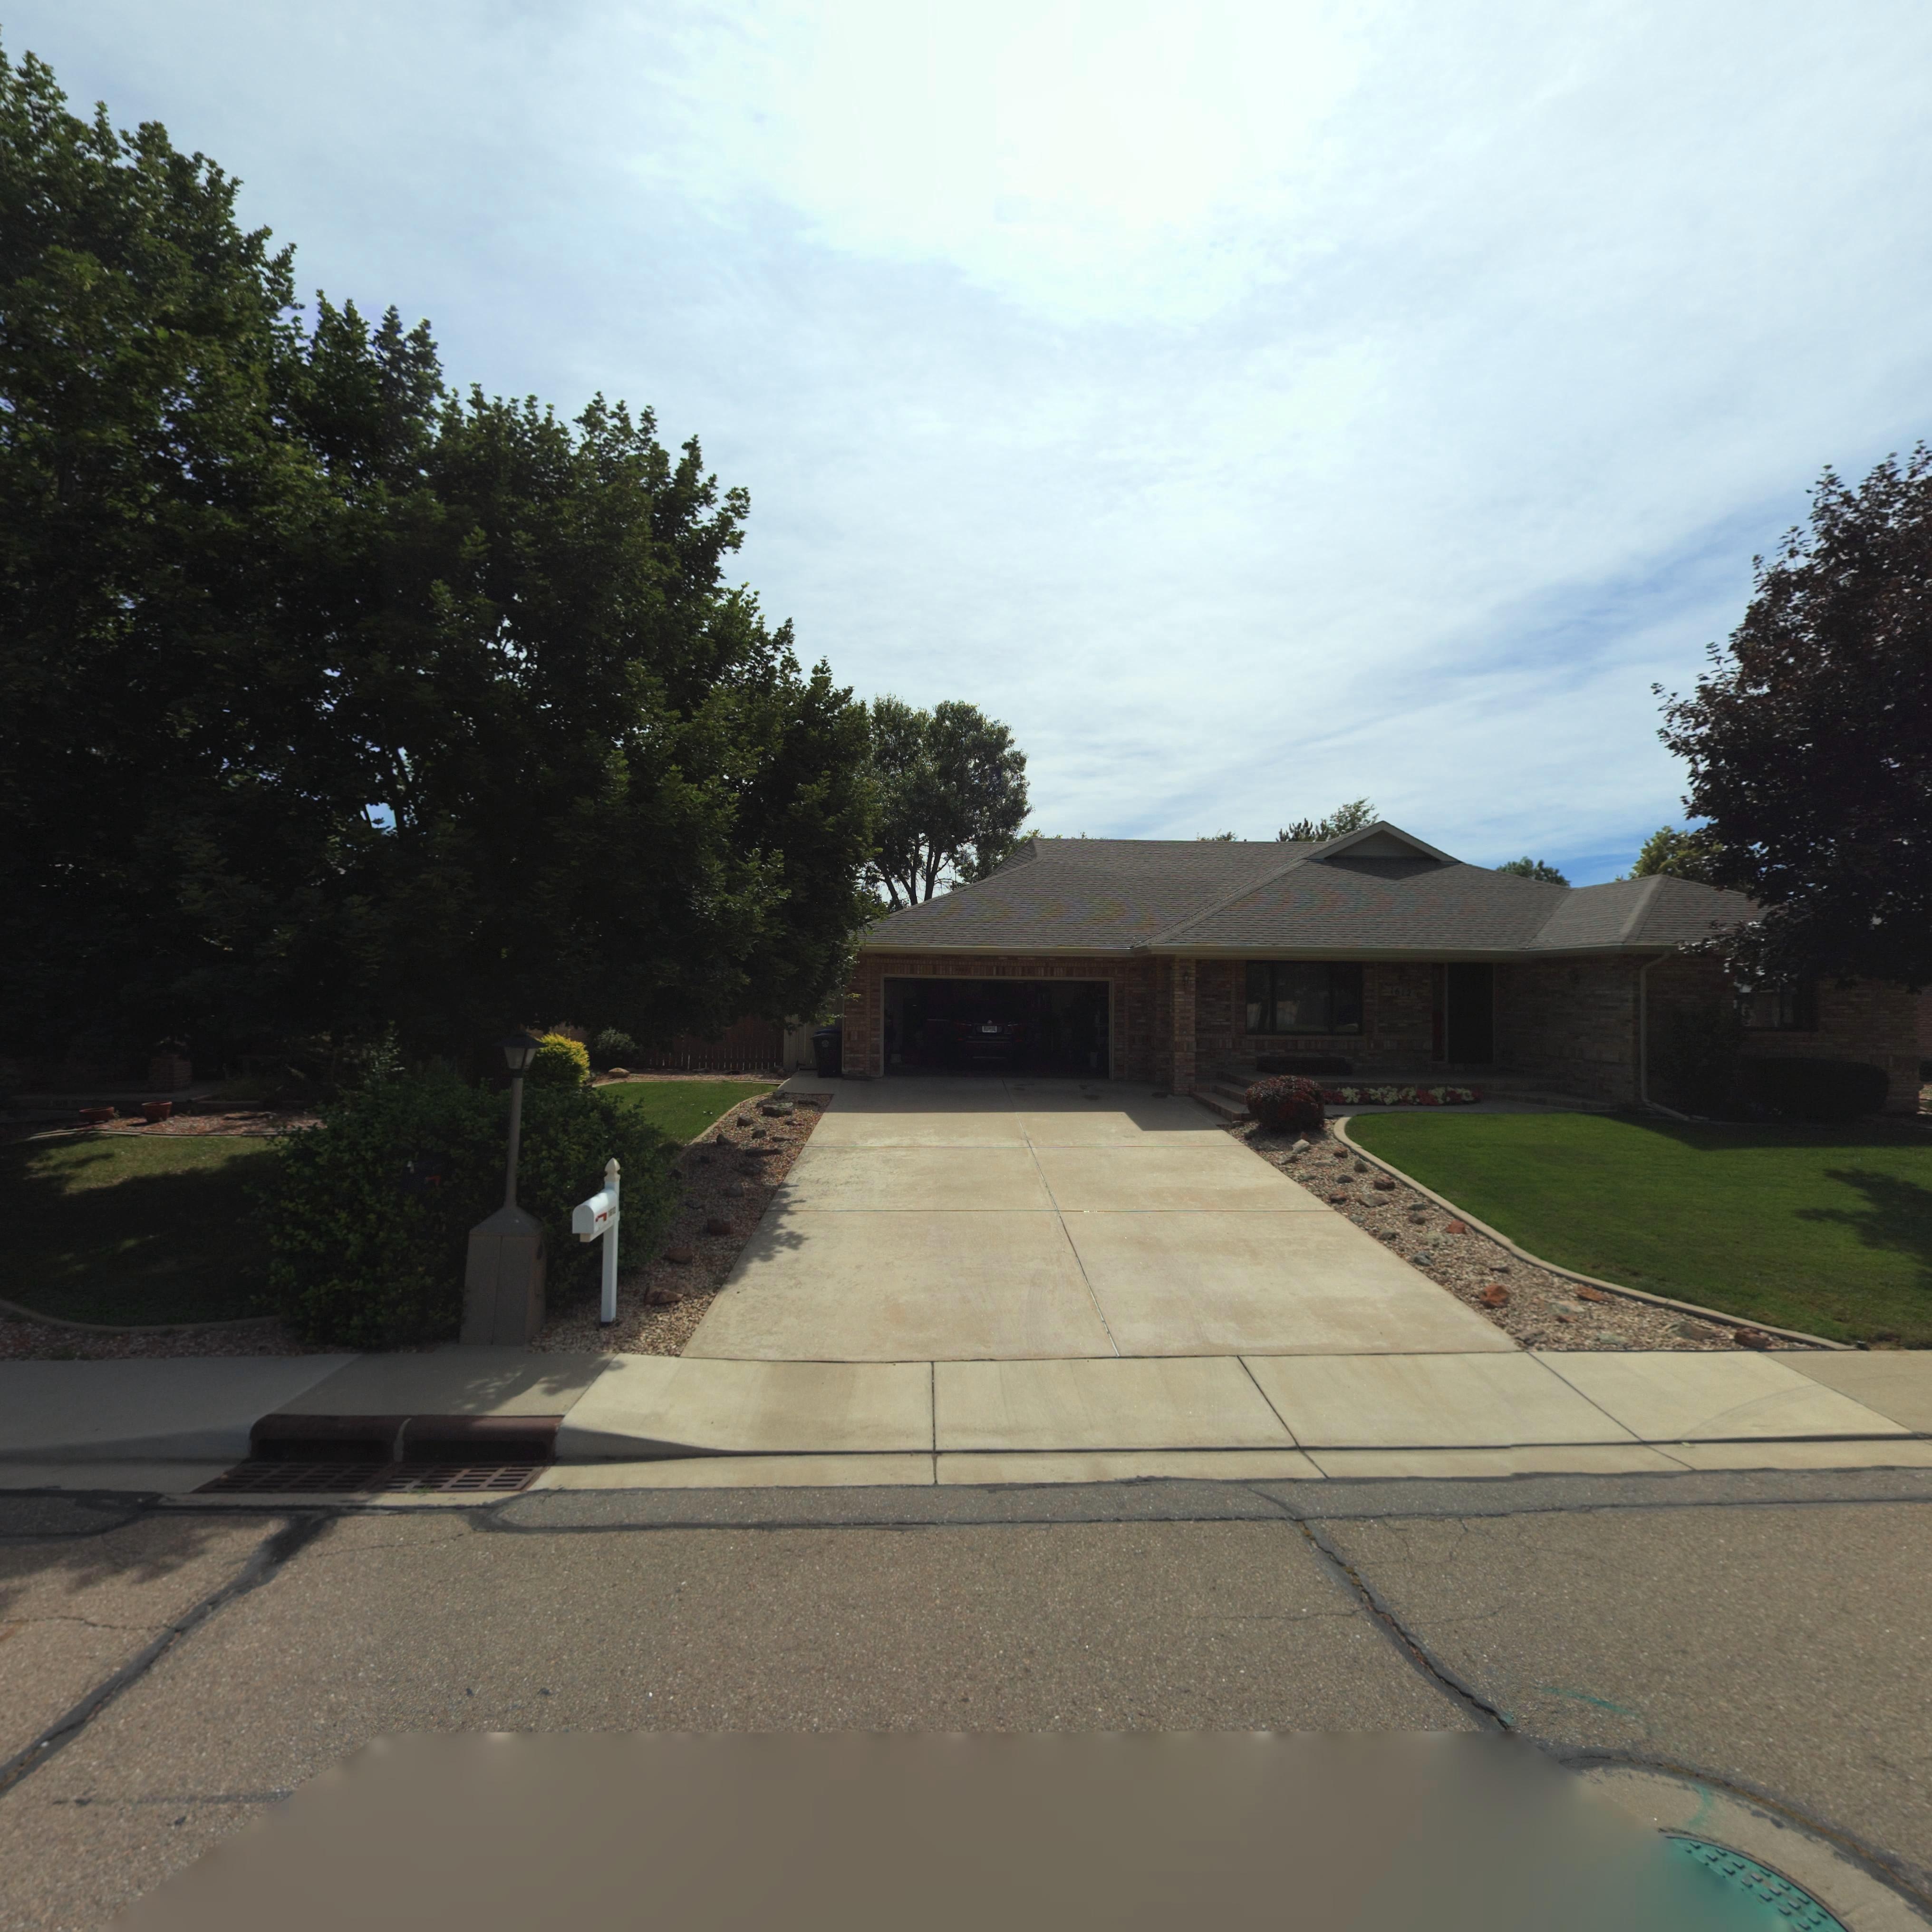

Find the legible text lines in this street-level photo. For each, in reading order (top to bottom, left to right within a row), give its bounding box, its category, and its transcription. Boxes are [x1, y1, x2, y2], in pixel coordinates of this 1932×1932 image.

[1389, 985, 1412, 997] StreetNumber: 1612
[608, 1205, 616, 1217] StreetNumber: 1***